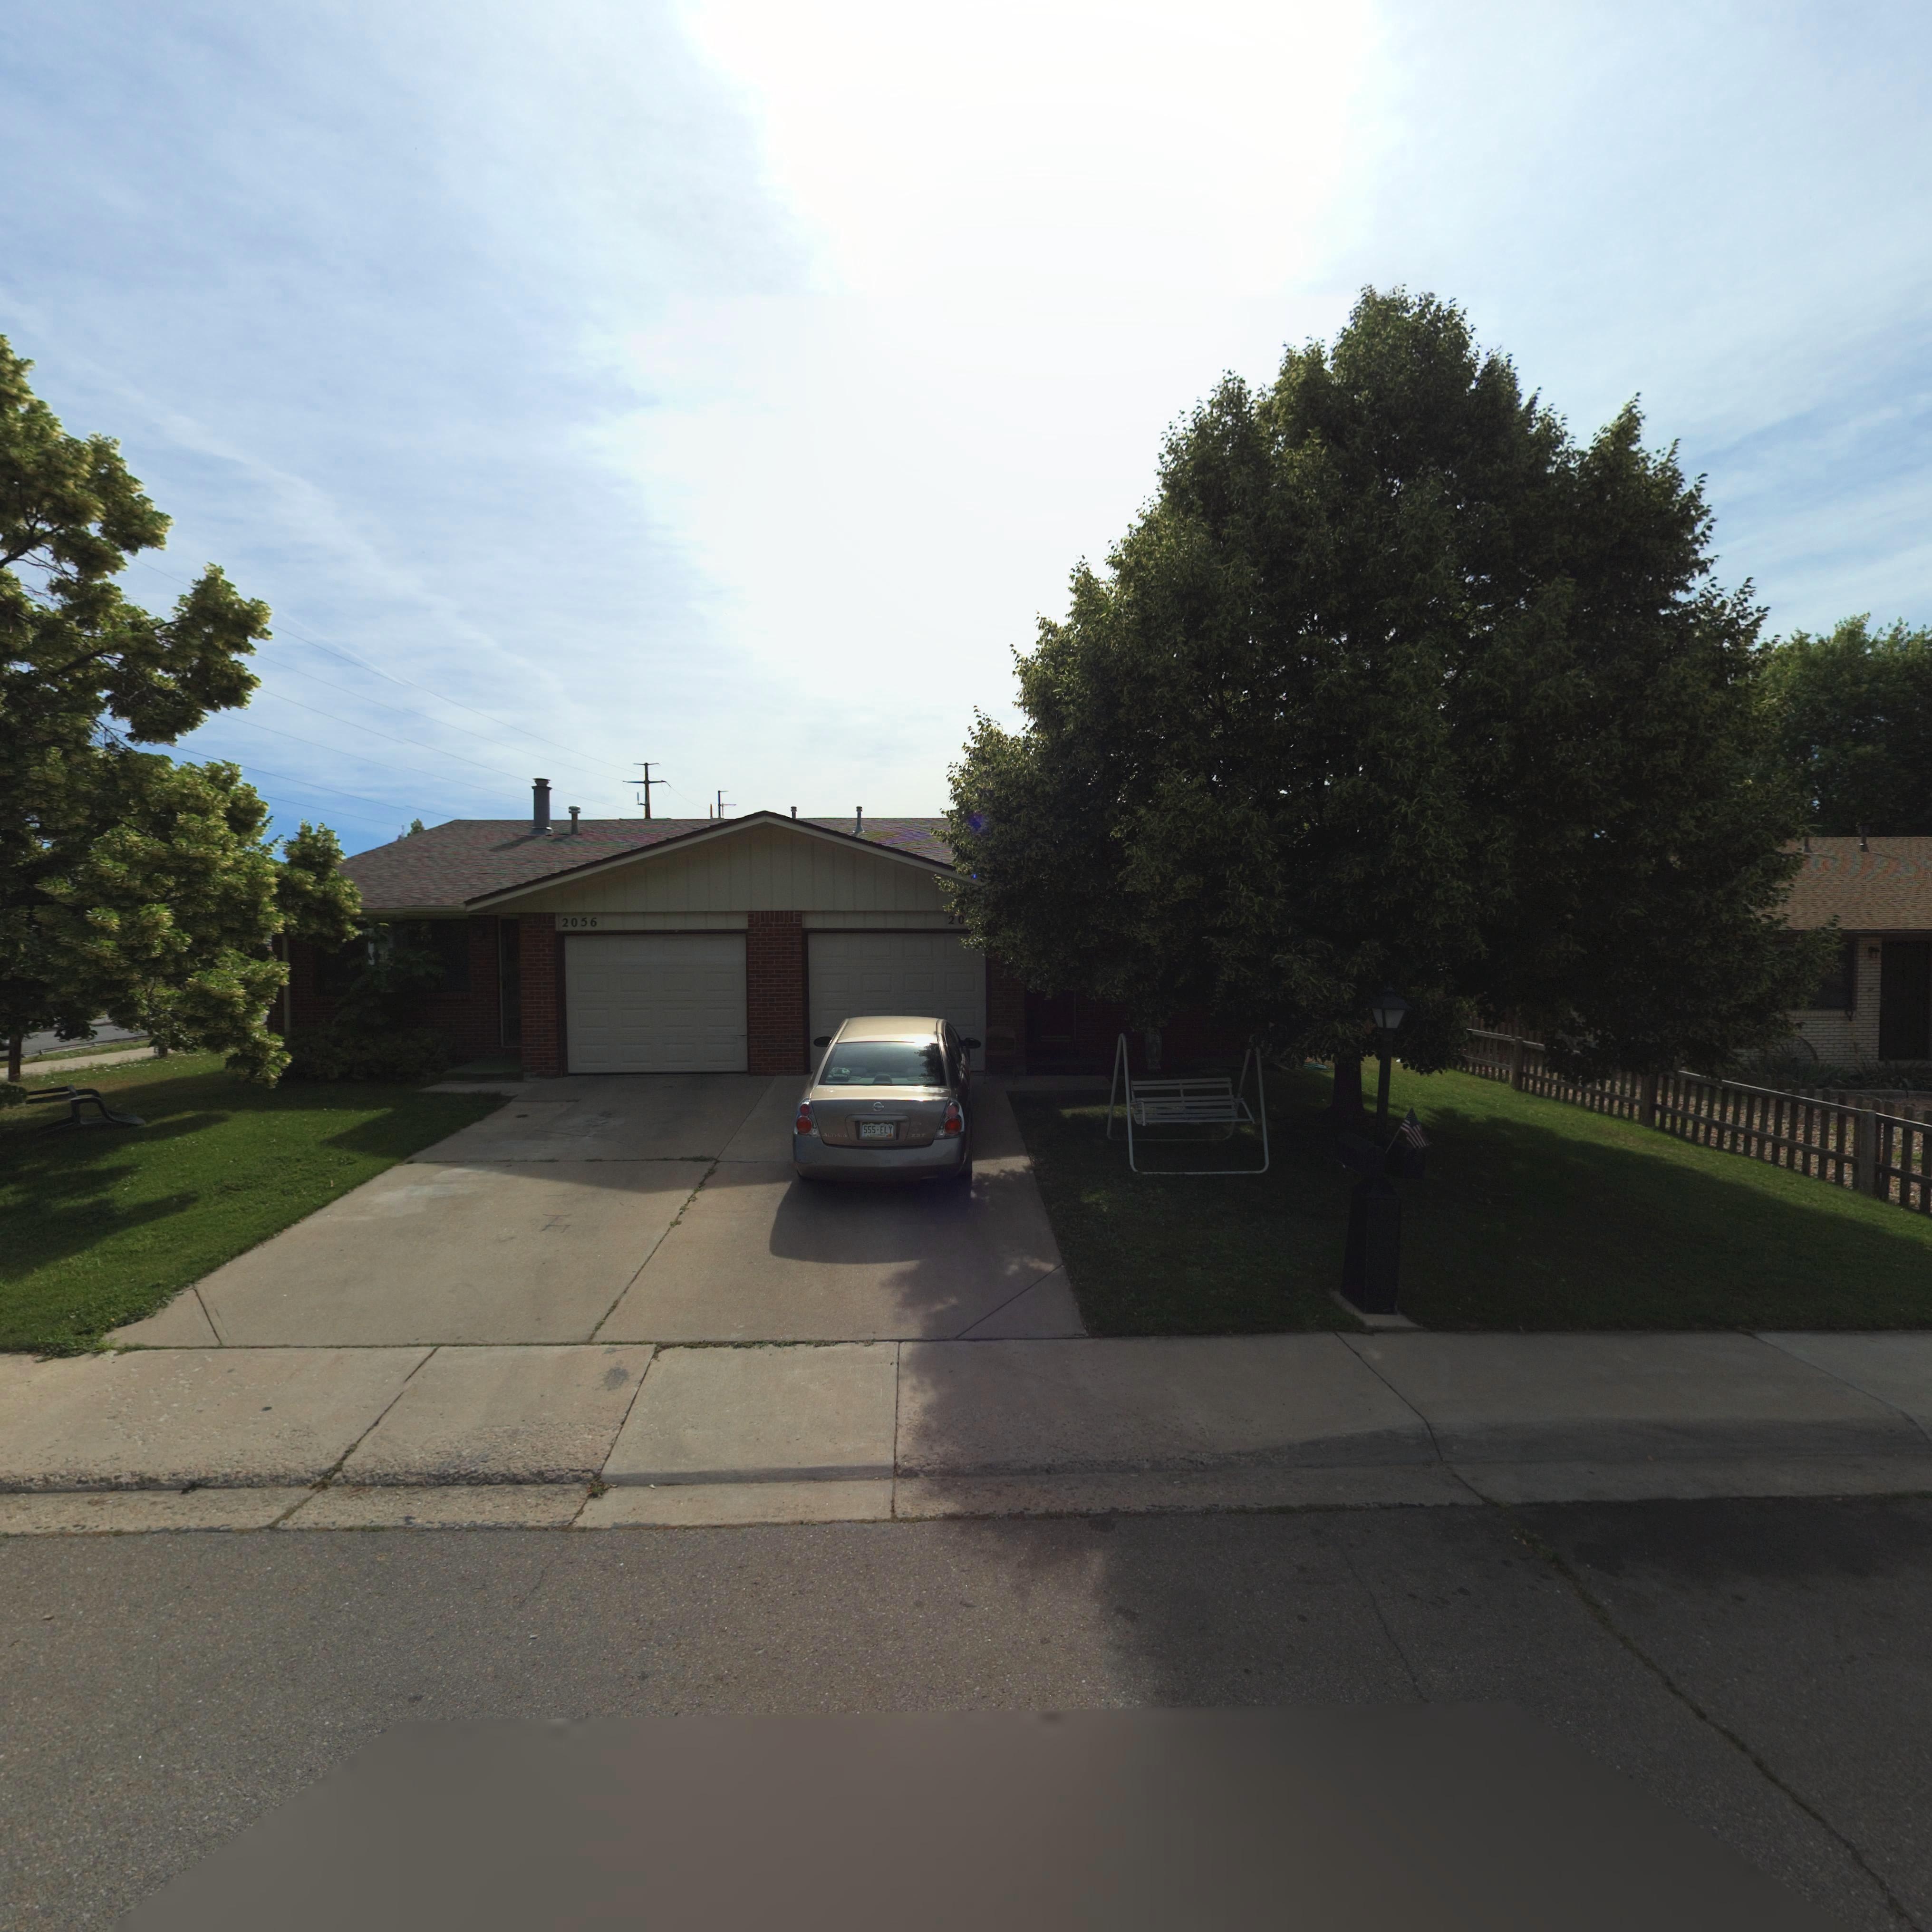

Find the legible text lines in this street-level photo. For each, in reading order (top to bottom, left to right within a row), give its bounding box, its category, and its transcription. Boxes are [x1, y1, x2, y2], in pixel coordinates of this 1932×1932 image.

[561, 916, 598, 927] StreetNumber: 2056
[947, 914, 965, 925] StreetNumber: 20